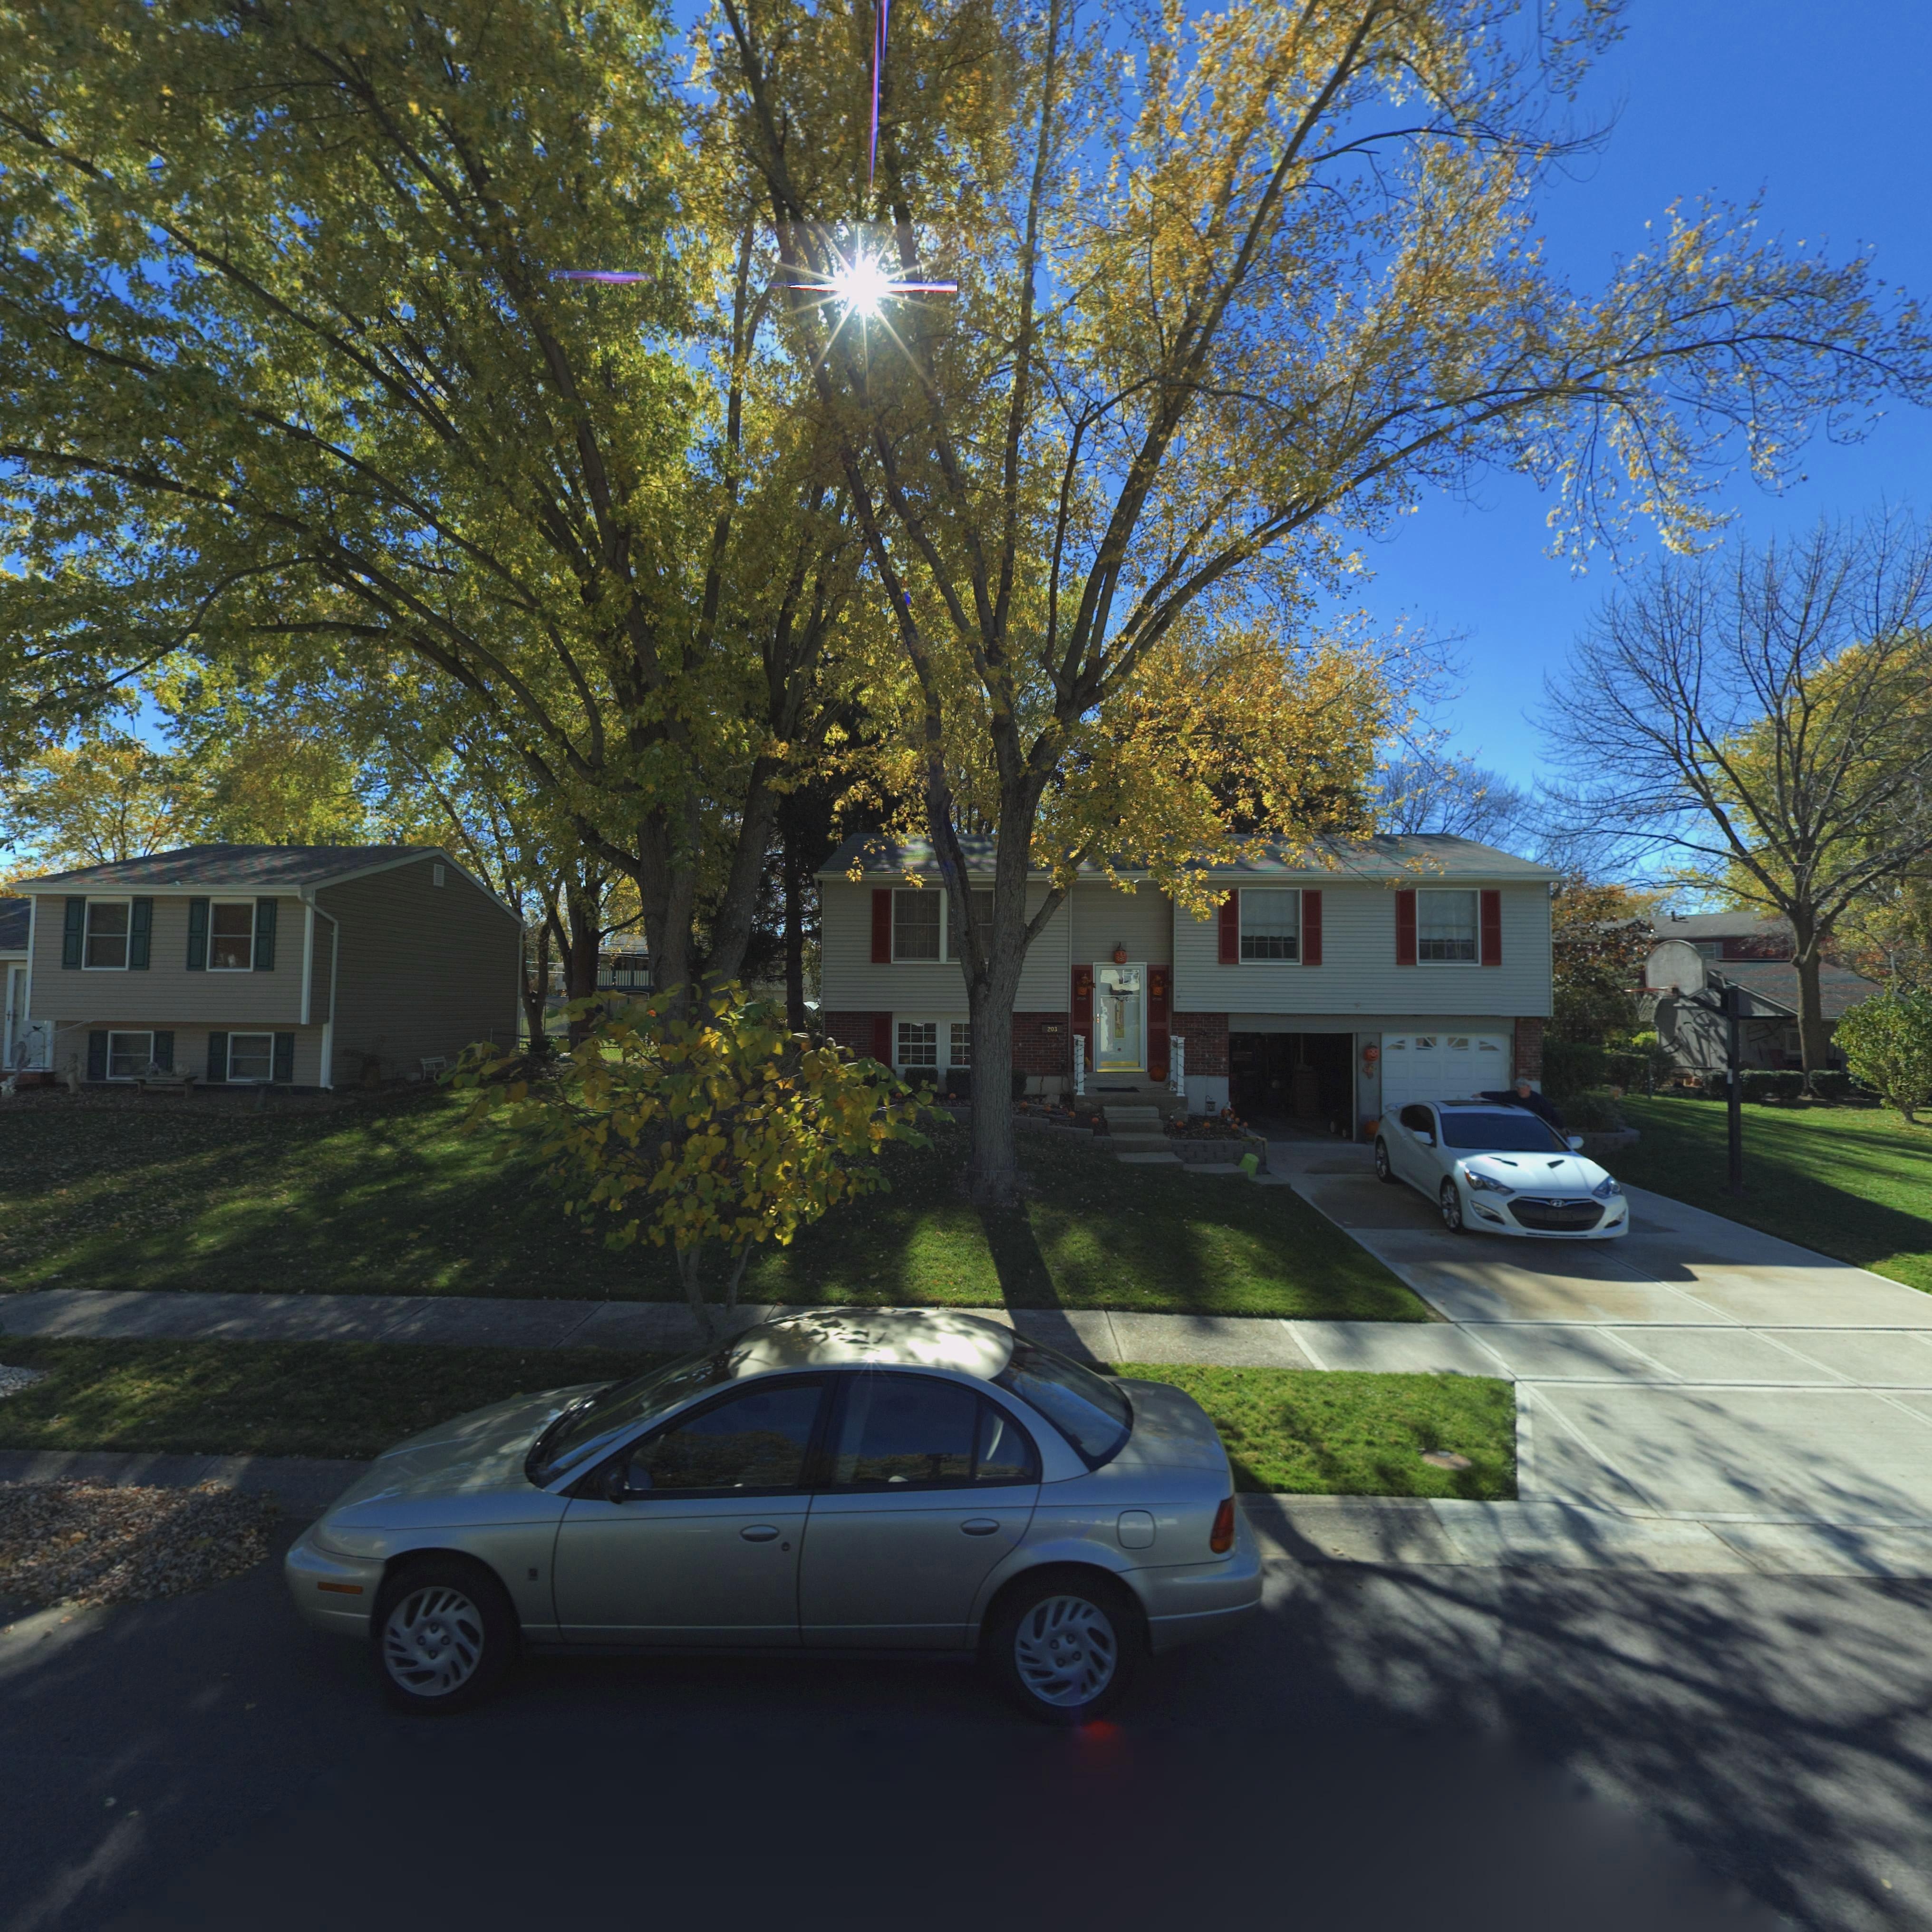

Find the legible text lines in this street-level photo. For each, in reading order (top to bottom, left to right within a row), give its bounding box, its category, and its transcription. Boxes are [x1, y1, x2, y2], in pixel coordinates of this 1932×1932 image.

[1046, 1026, 1058, 1033] StreetNumber: 203